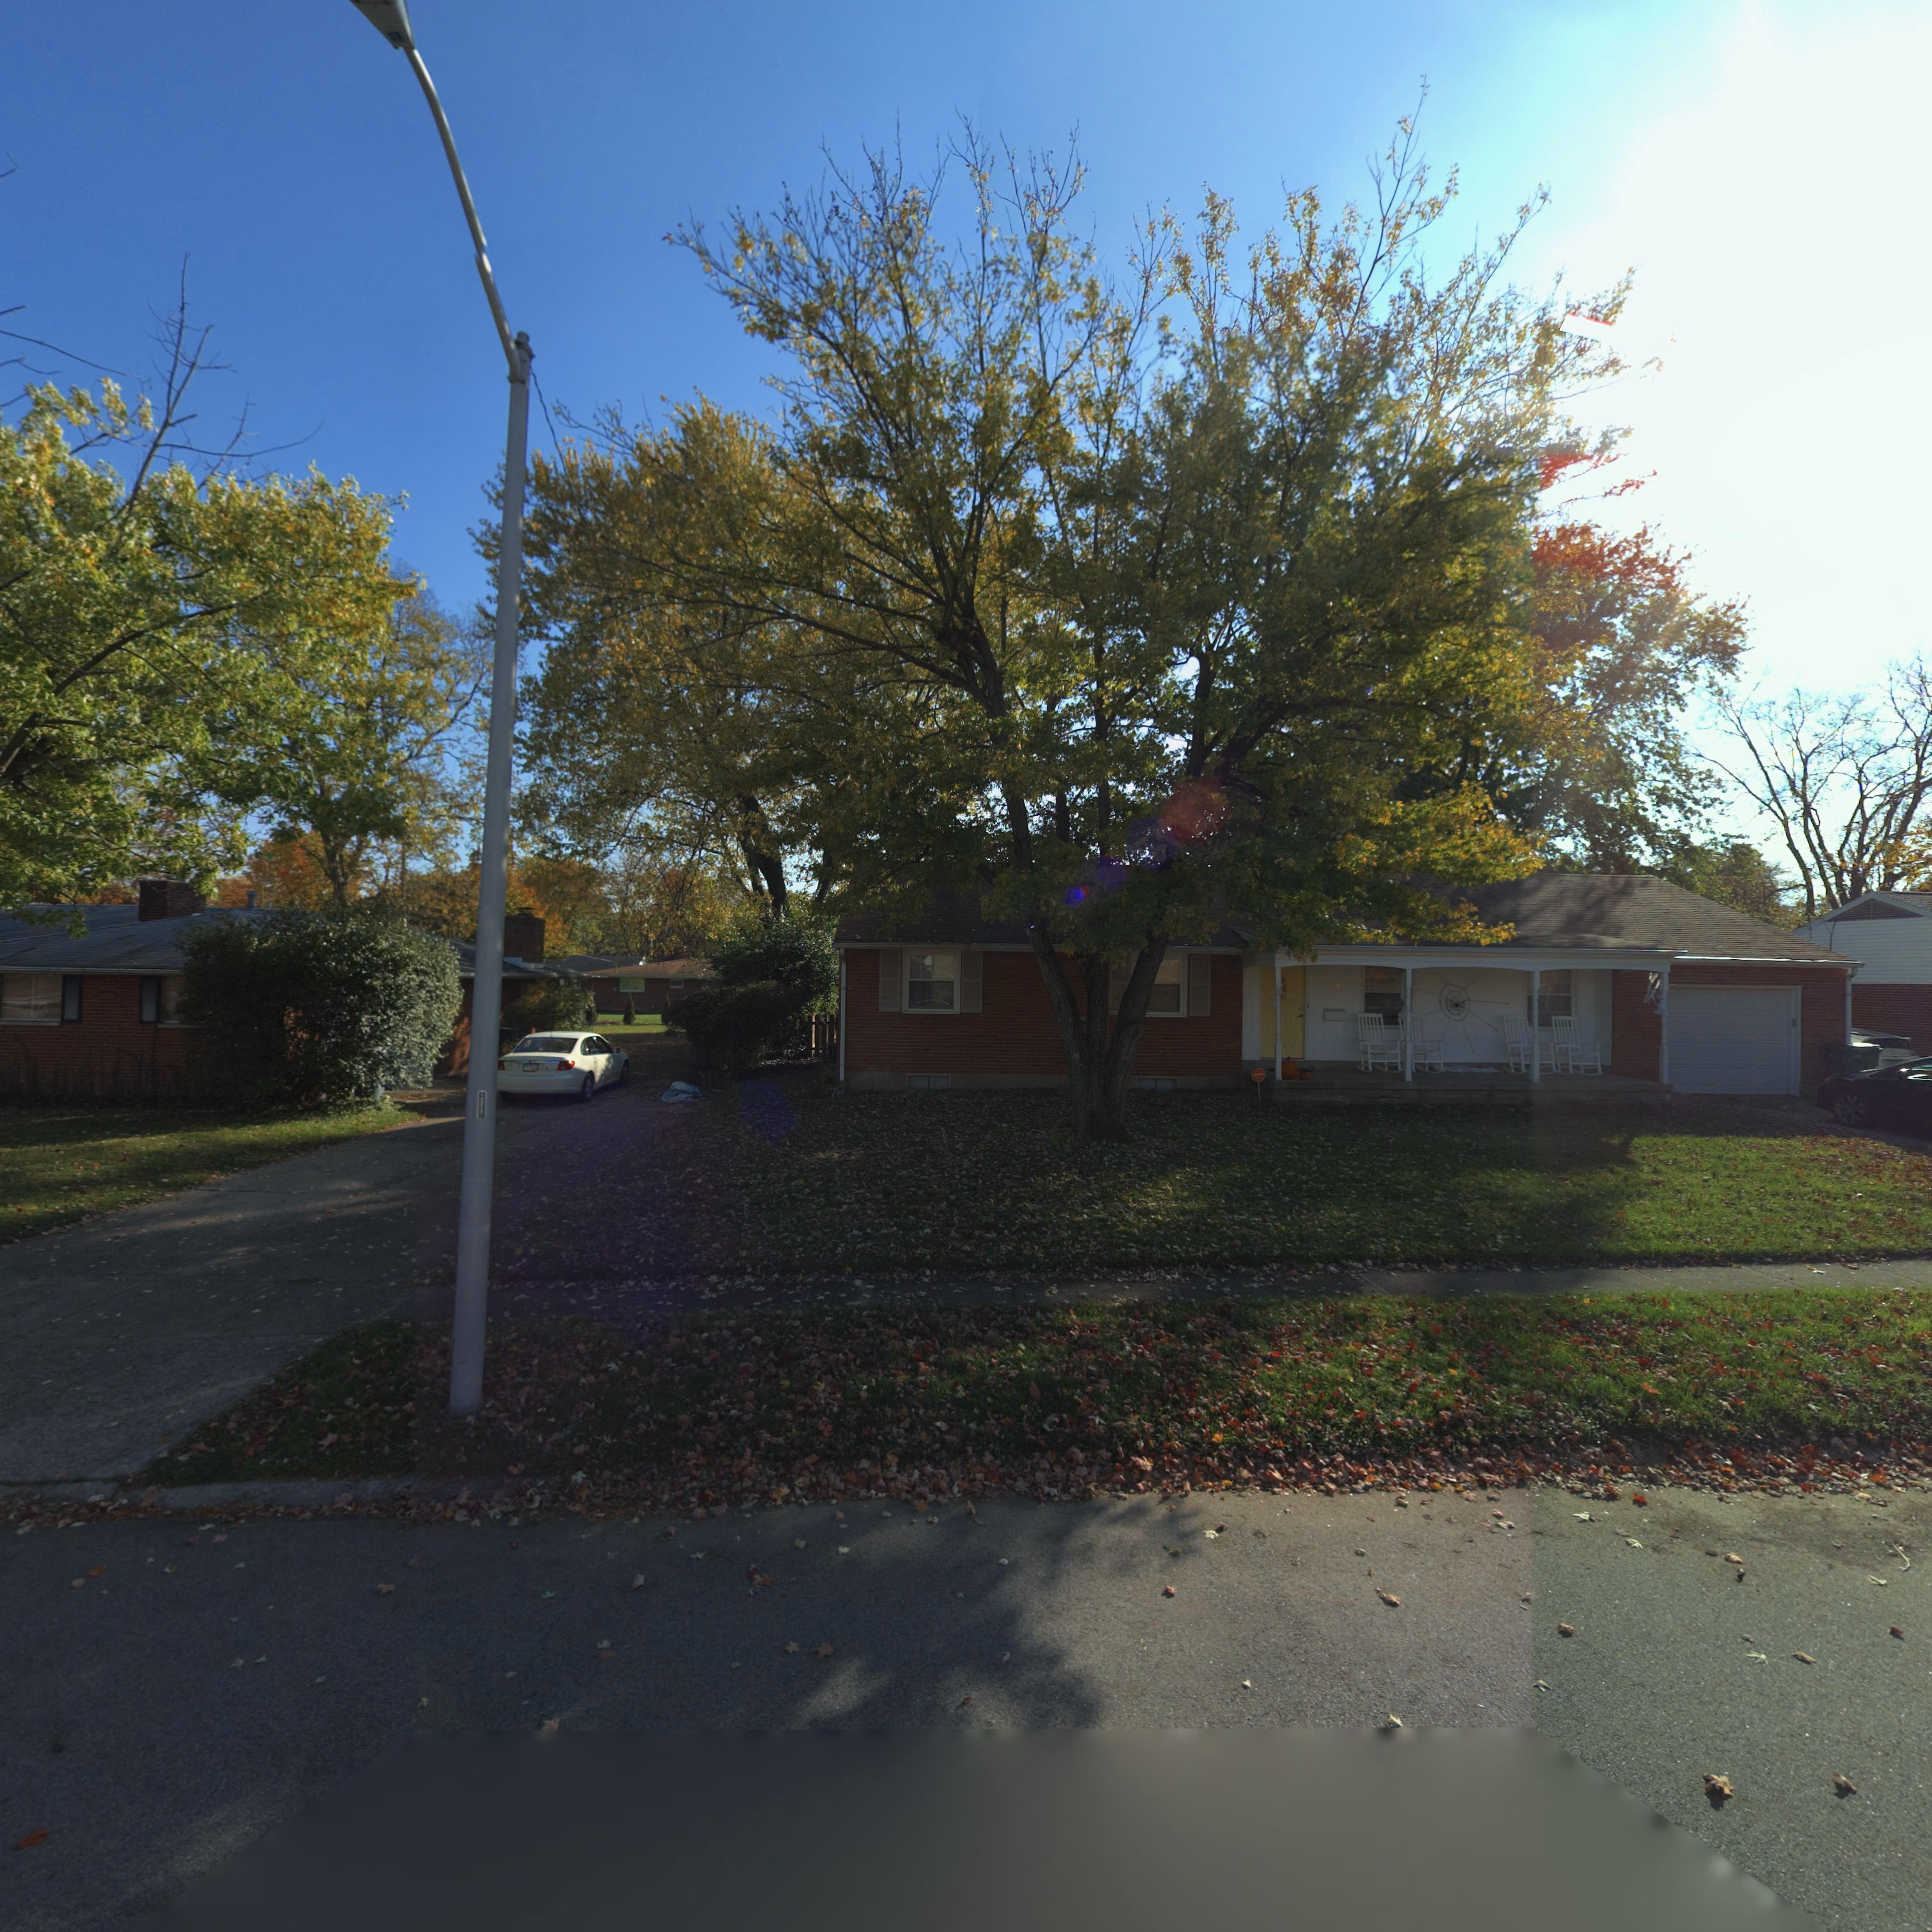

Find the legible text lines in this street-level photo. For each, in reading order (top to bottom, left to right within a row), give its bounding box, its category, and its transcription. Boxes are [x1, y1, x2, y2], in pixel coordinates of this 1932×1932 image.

[1325, 983, 1340, 989] StreetNumber: 6**